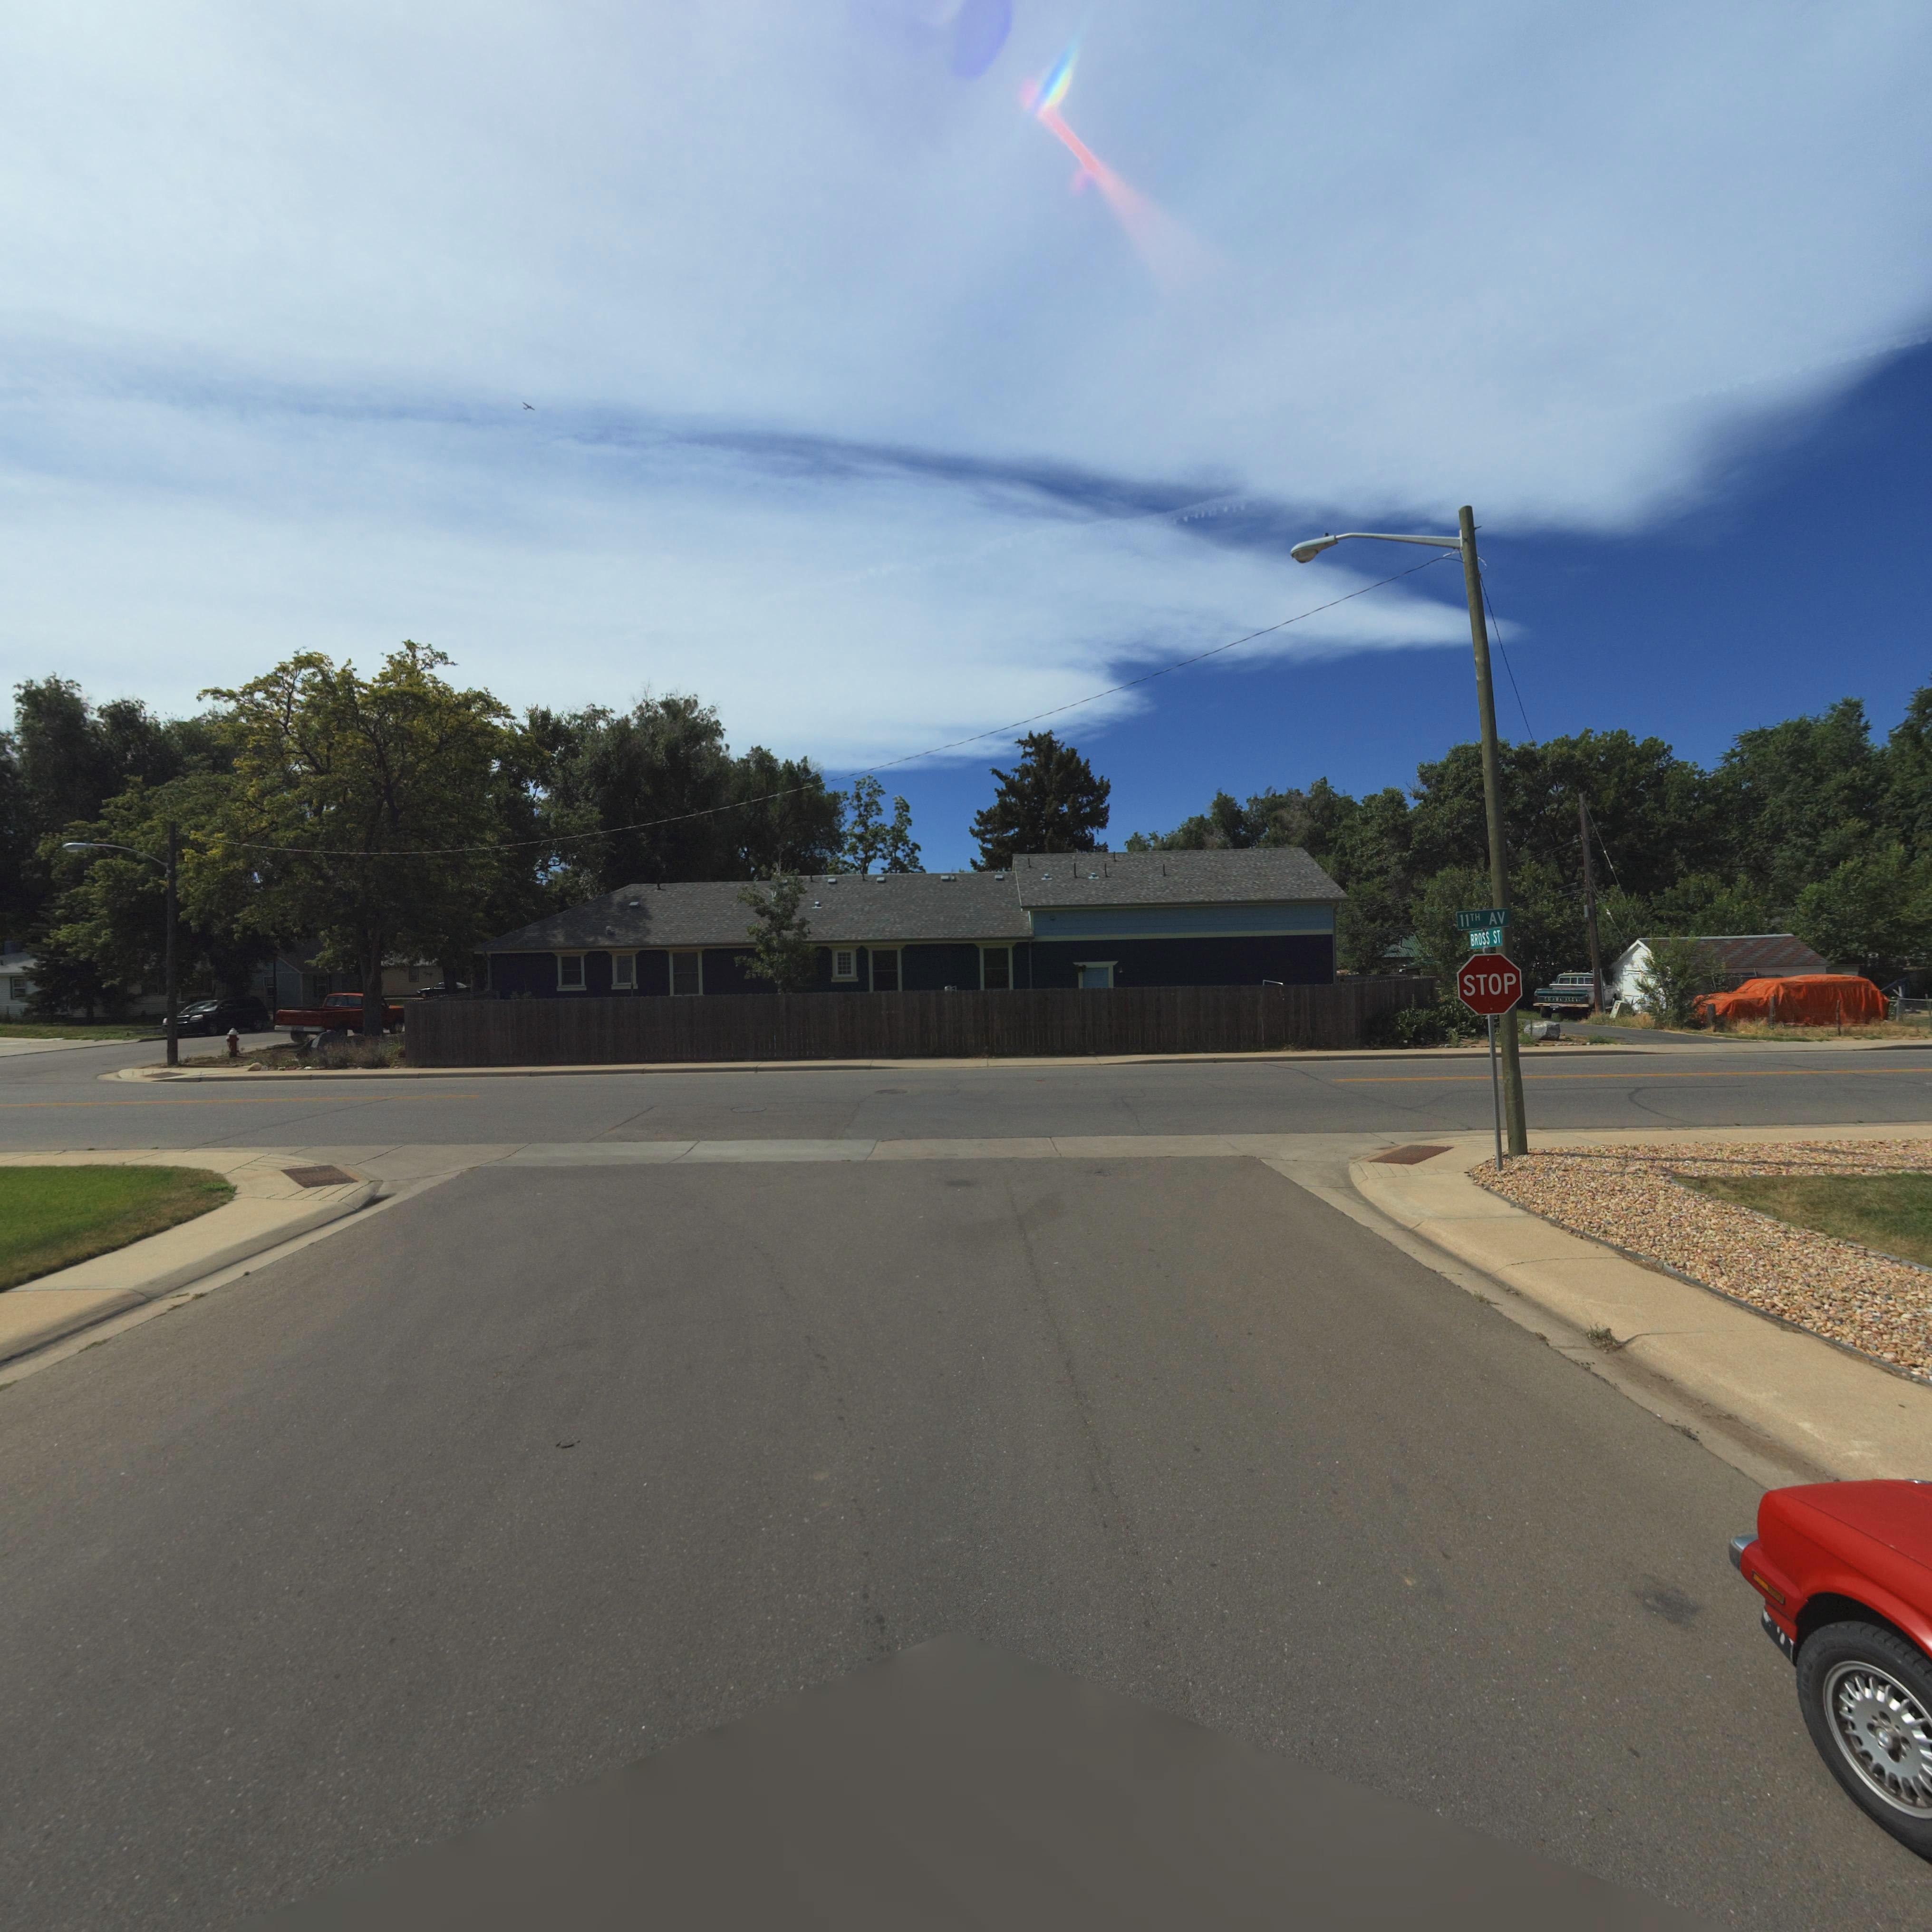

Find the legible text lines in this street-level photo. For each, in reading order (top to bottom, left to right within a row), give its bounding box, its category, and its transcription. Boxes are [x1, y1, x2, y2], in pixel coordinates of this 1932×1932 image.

[1459, 910, 1505, 927] StreetName: 11TH AV
[1470, 929, 1501, 947] StreetName: BROSS ST